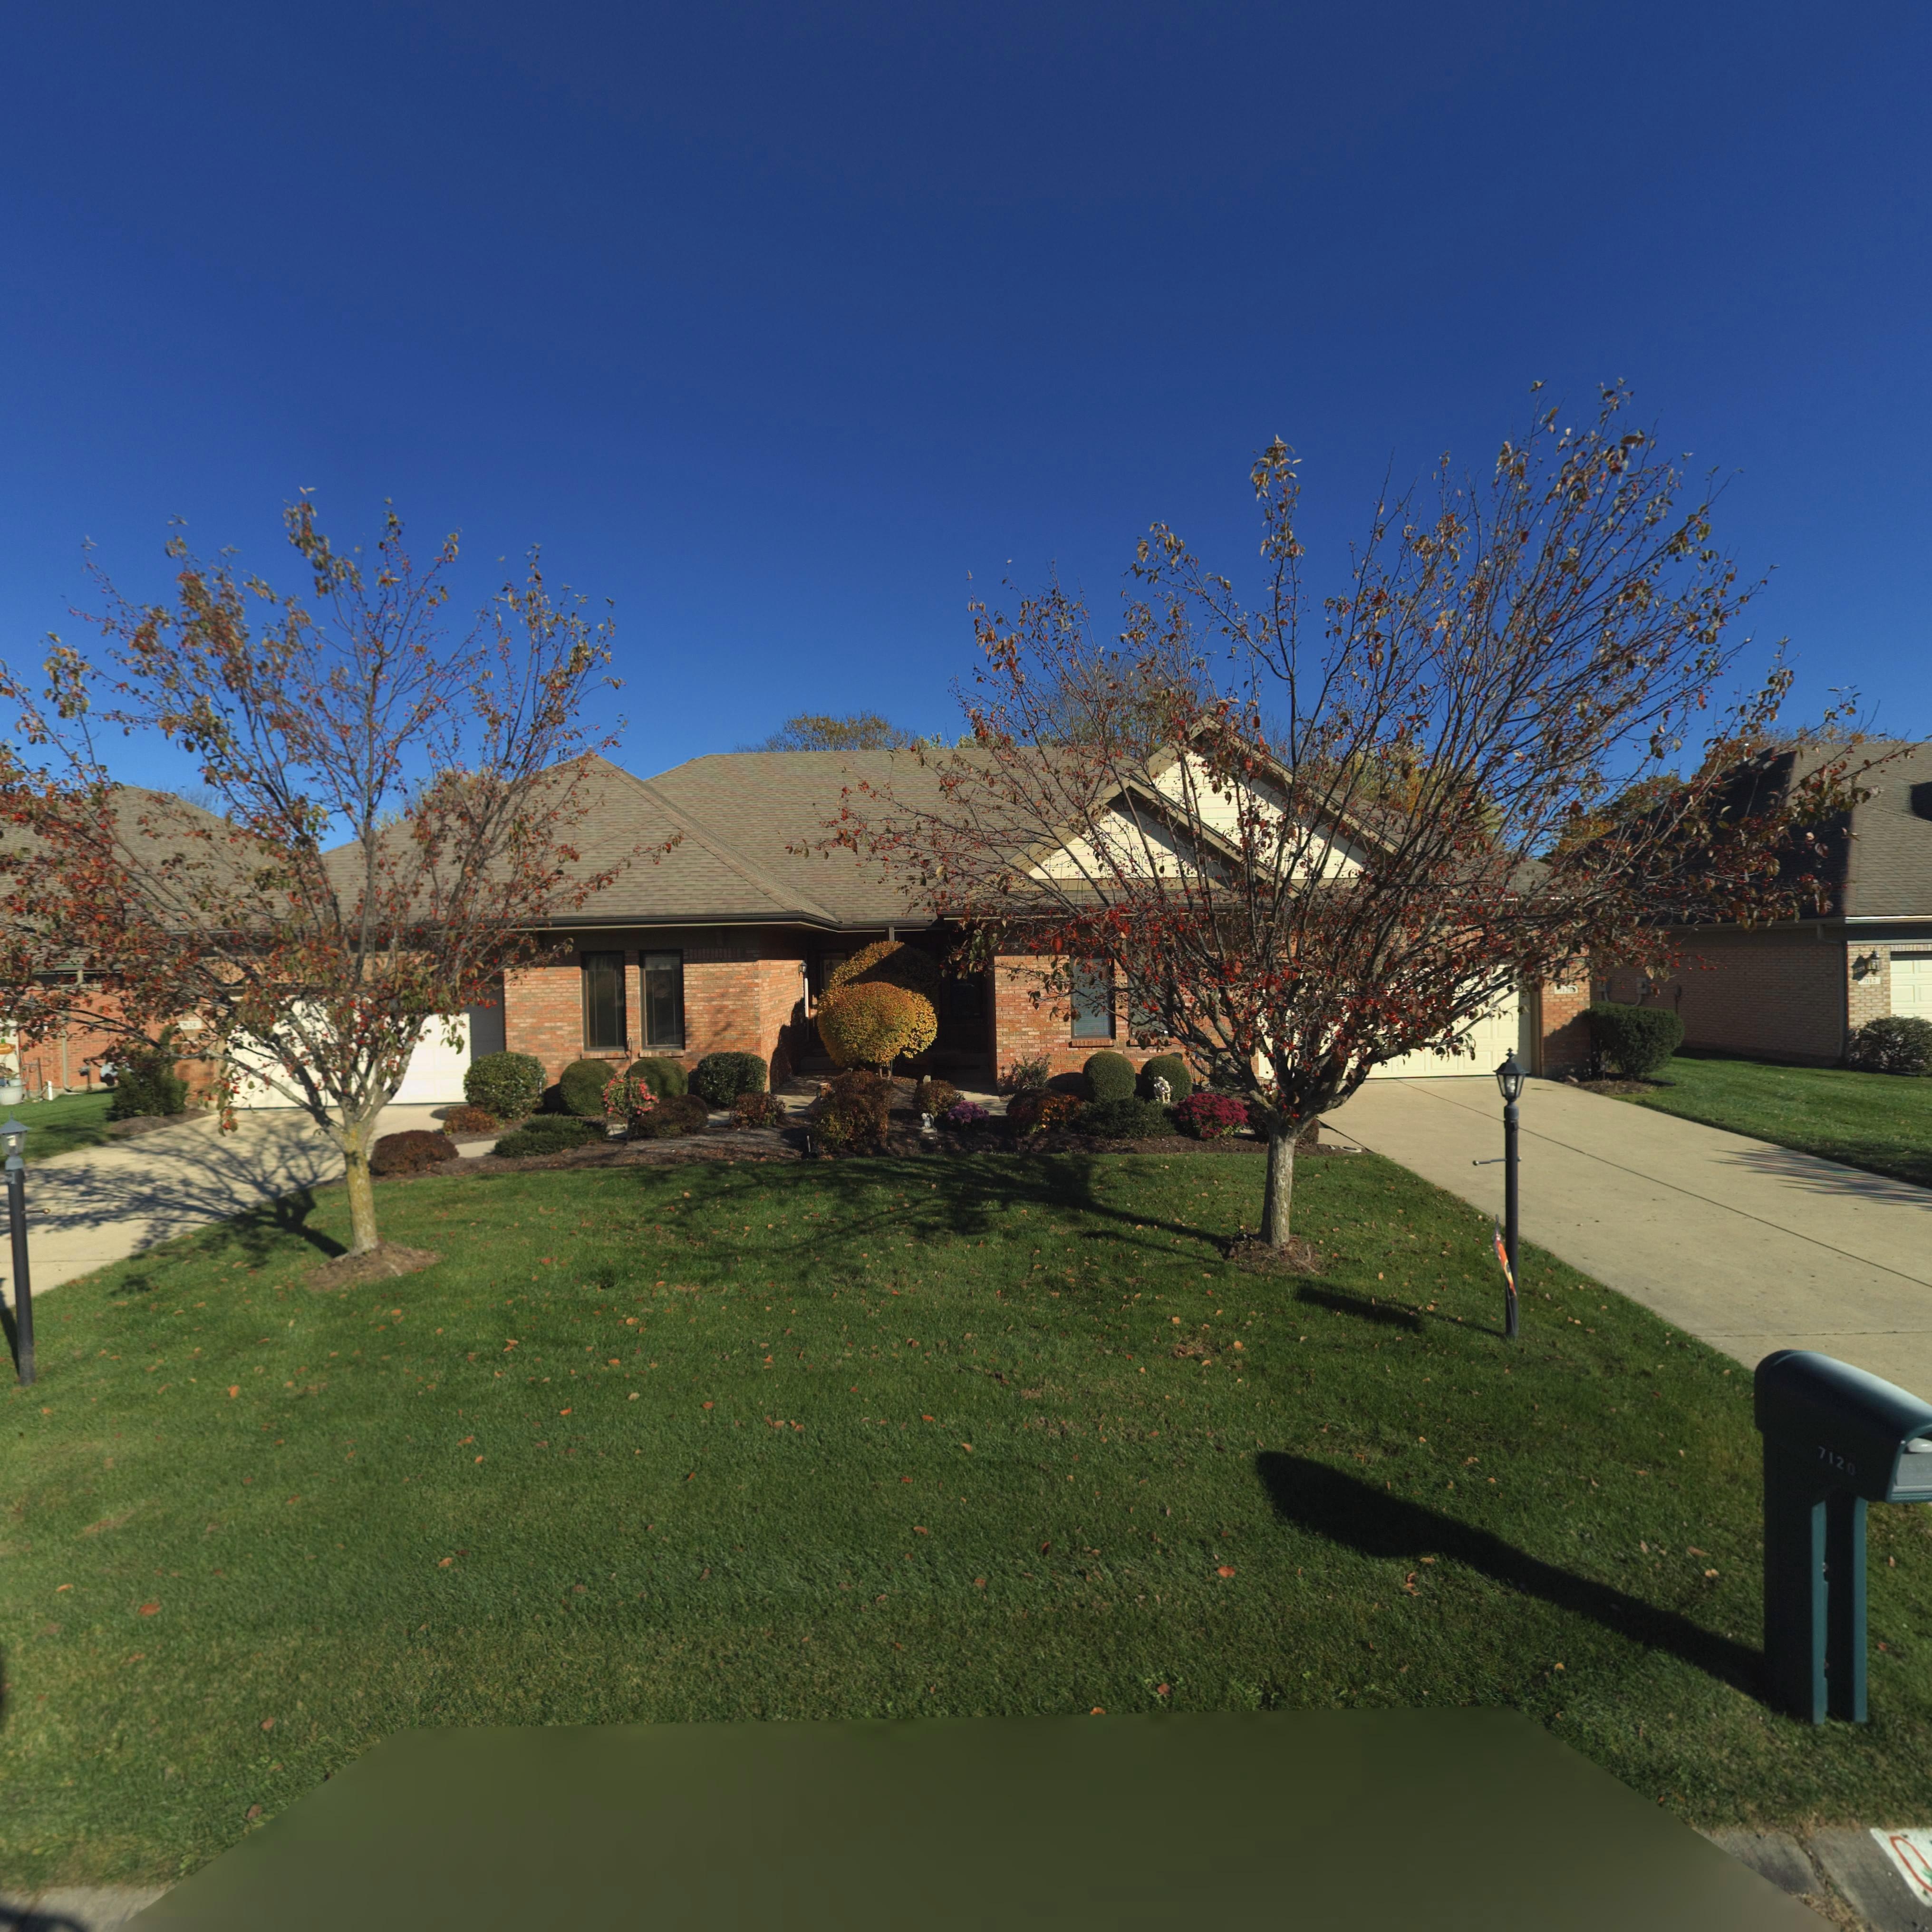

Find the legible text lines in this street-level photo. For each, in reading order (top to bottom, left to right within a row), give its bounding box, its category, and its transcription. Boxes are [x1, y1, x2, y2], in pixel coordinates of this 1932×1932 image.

[1559, 987, 1575, 993] StreetNumber: 7120
[1817, 1444, 1857, 1477] StreetNumber: 7120